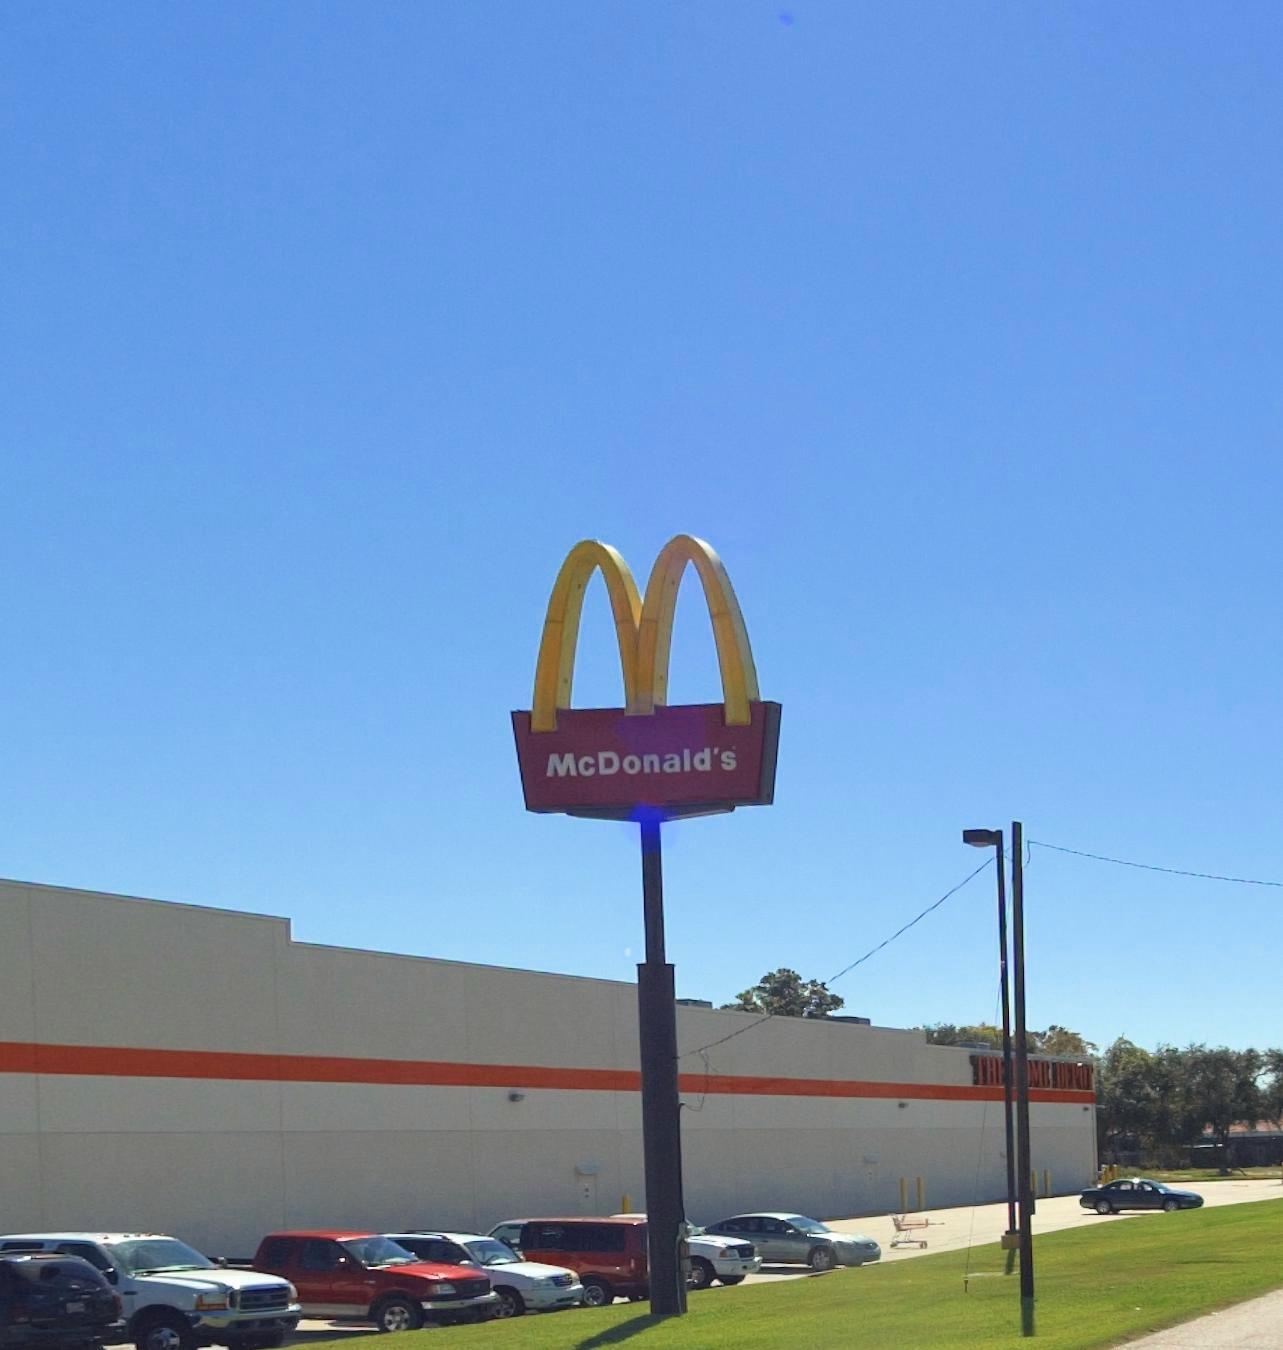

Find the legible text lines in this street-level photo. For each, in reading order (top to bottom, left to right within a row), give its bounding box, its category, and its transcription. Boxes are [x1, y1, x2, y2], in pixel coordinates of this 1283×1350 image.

[541, 744, 739, 781] BusinessName: McDonald's
[968, 1053, 1000, 1088] BusinessName: TH
[1029, 1057, 1097, 1093] BusinessName: ME DEPOT